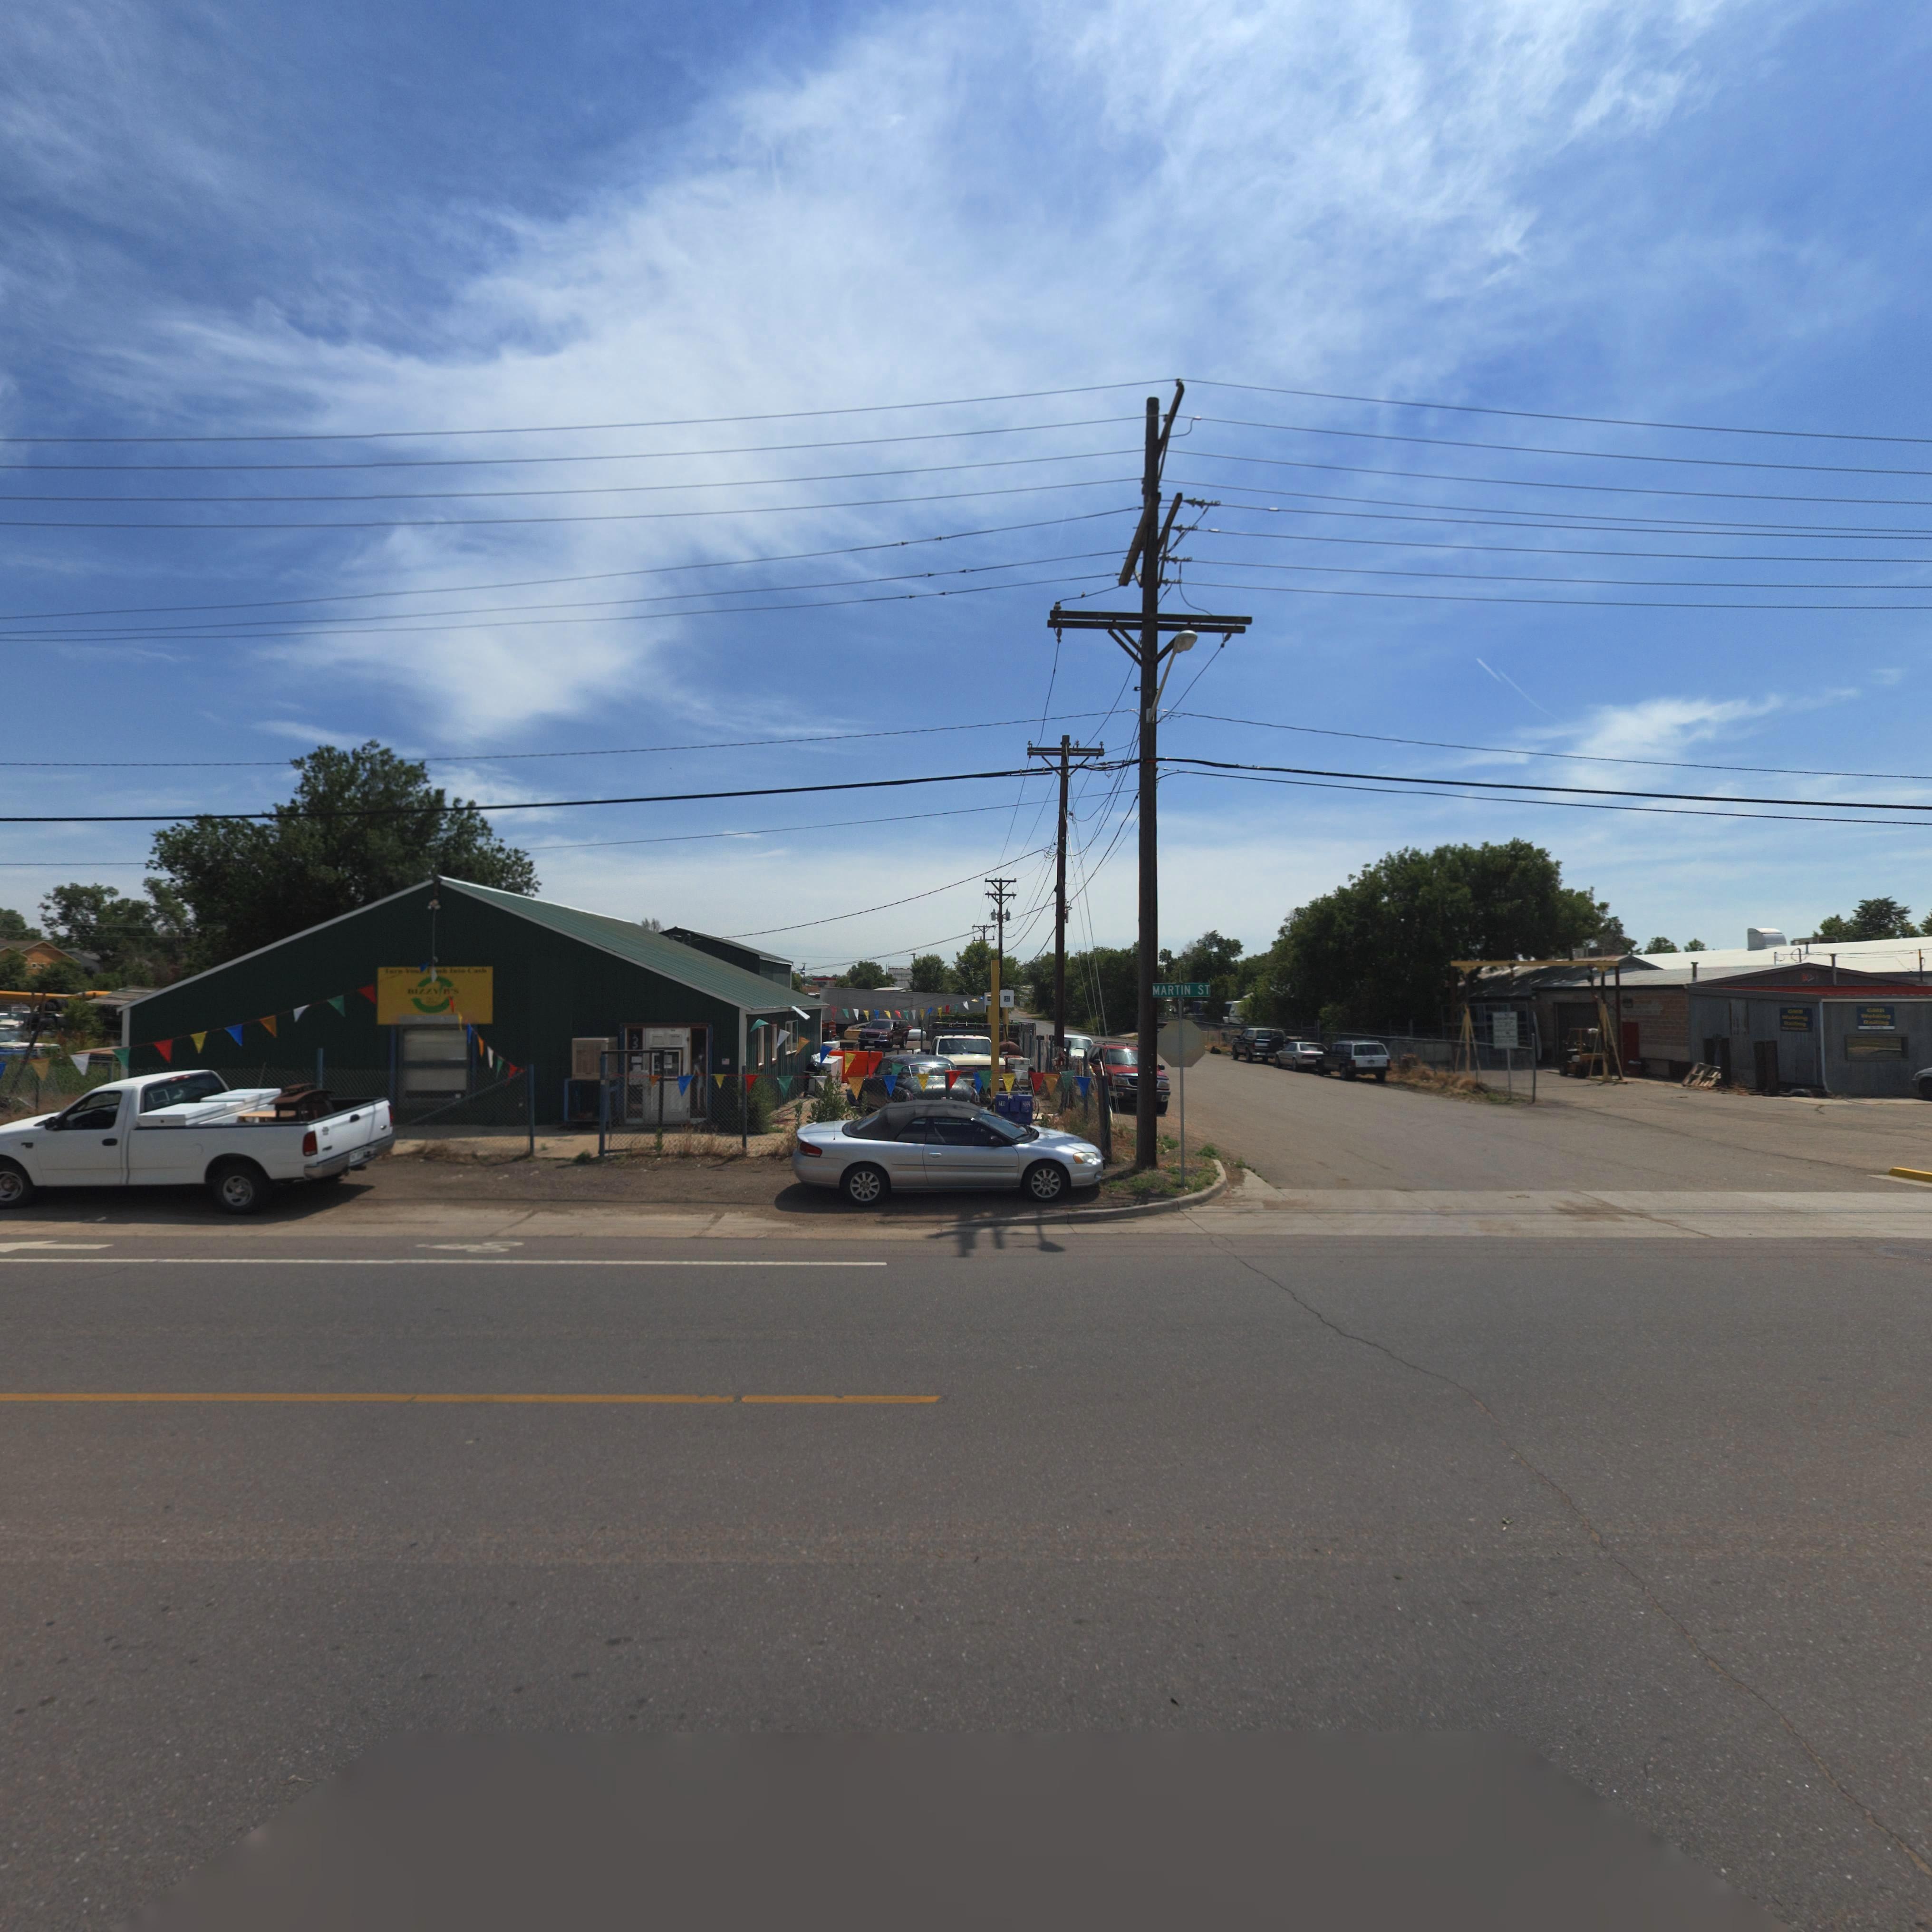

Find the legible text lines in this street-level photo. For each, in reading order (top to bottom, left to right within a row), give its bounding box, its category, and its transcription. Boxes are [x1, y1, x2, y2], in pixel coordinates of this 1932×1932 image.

[407, 988, 460, 995] BusinessName: BIZZY B'S
[1152, 984, 1210, 995] StreetName: MARTIN ST
[1787, 1009, 1803, 1014] BusinessName: GMB
[1866, 1007, 1885, 1013] BusinessName: GMB
[1781, 1014, 1808, 1021] BusinessName: Welding
[1860, 1013, 1891, 1019] BusinessName: Welding
[1783, 1021, 1806, 1027] BusinessName: Railing
[1863, 1020, 1889, 1025] BusinessName: Railing